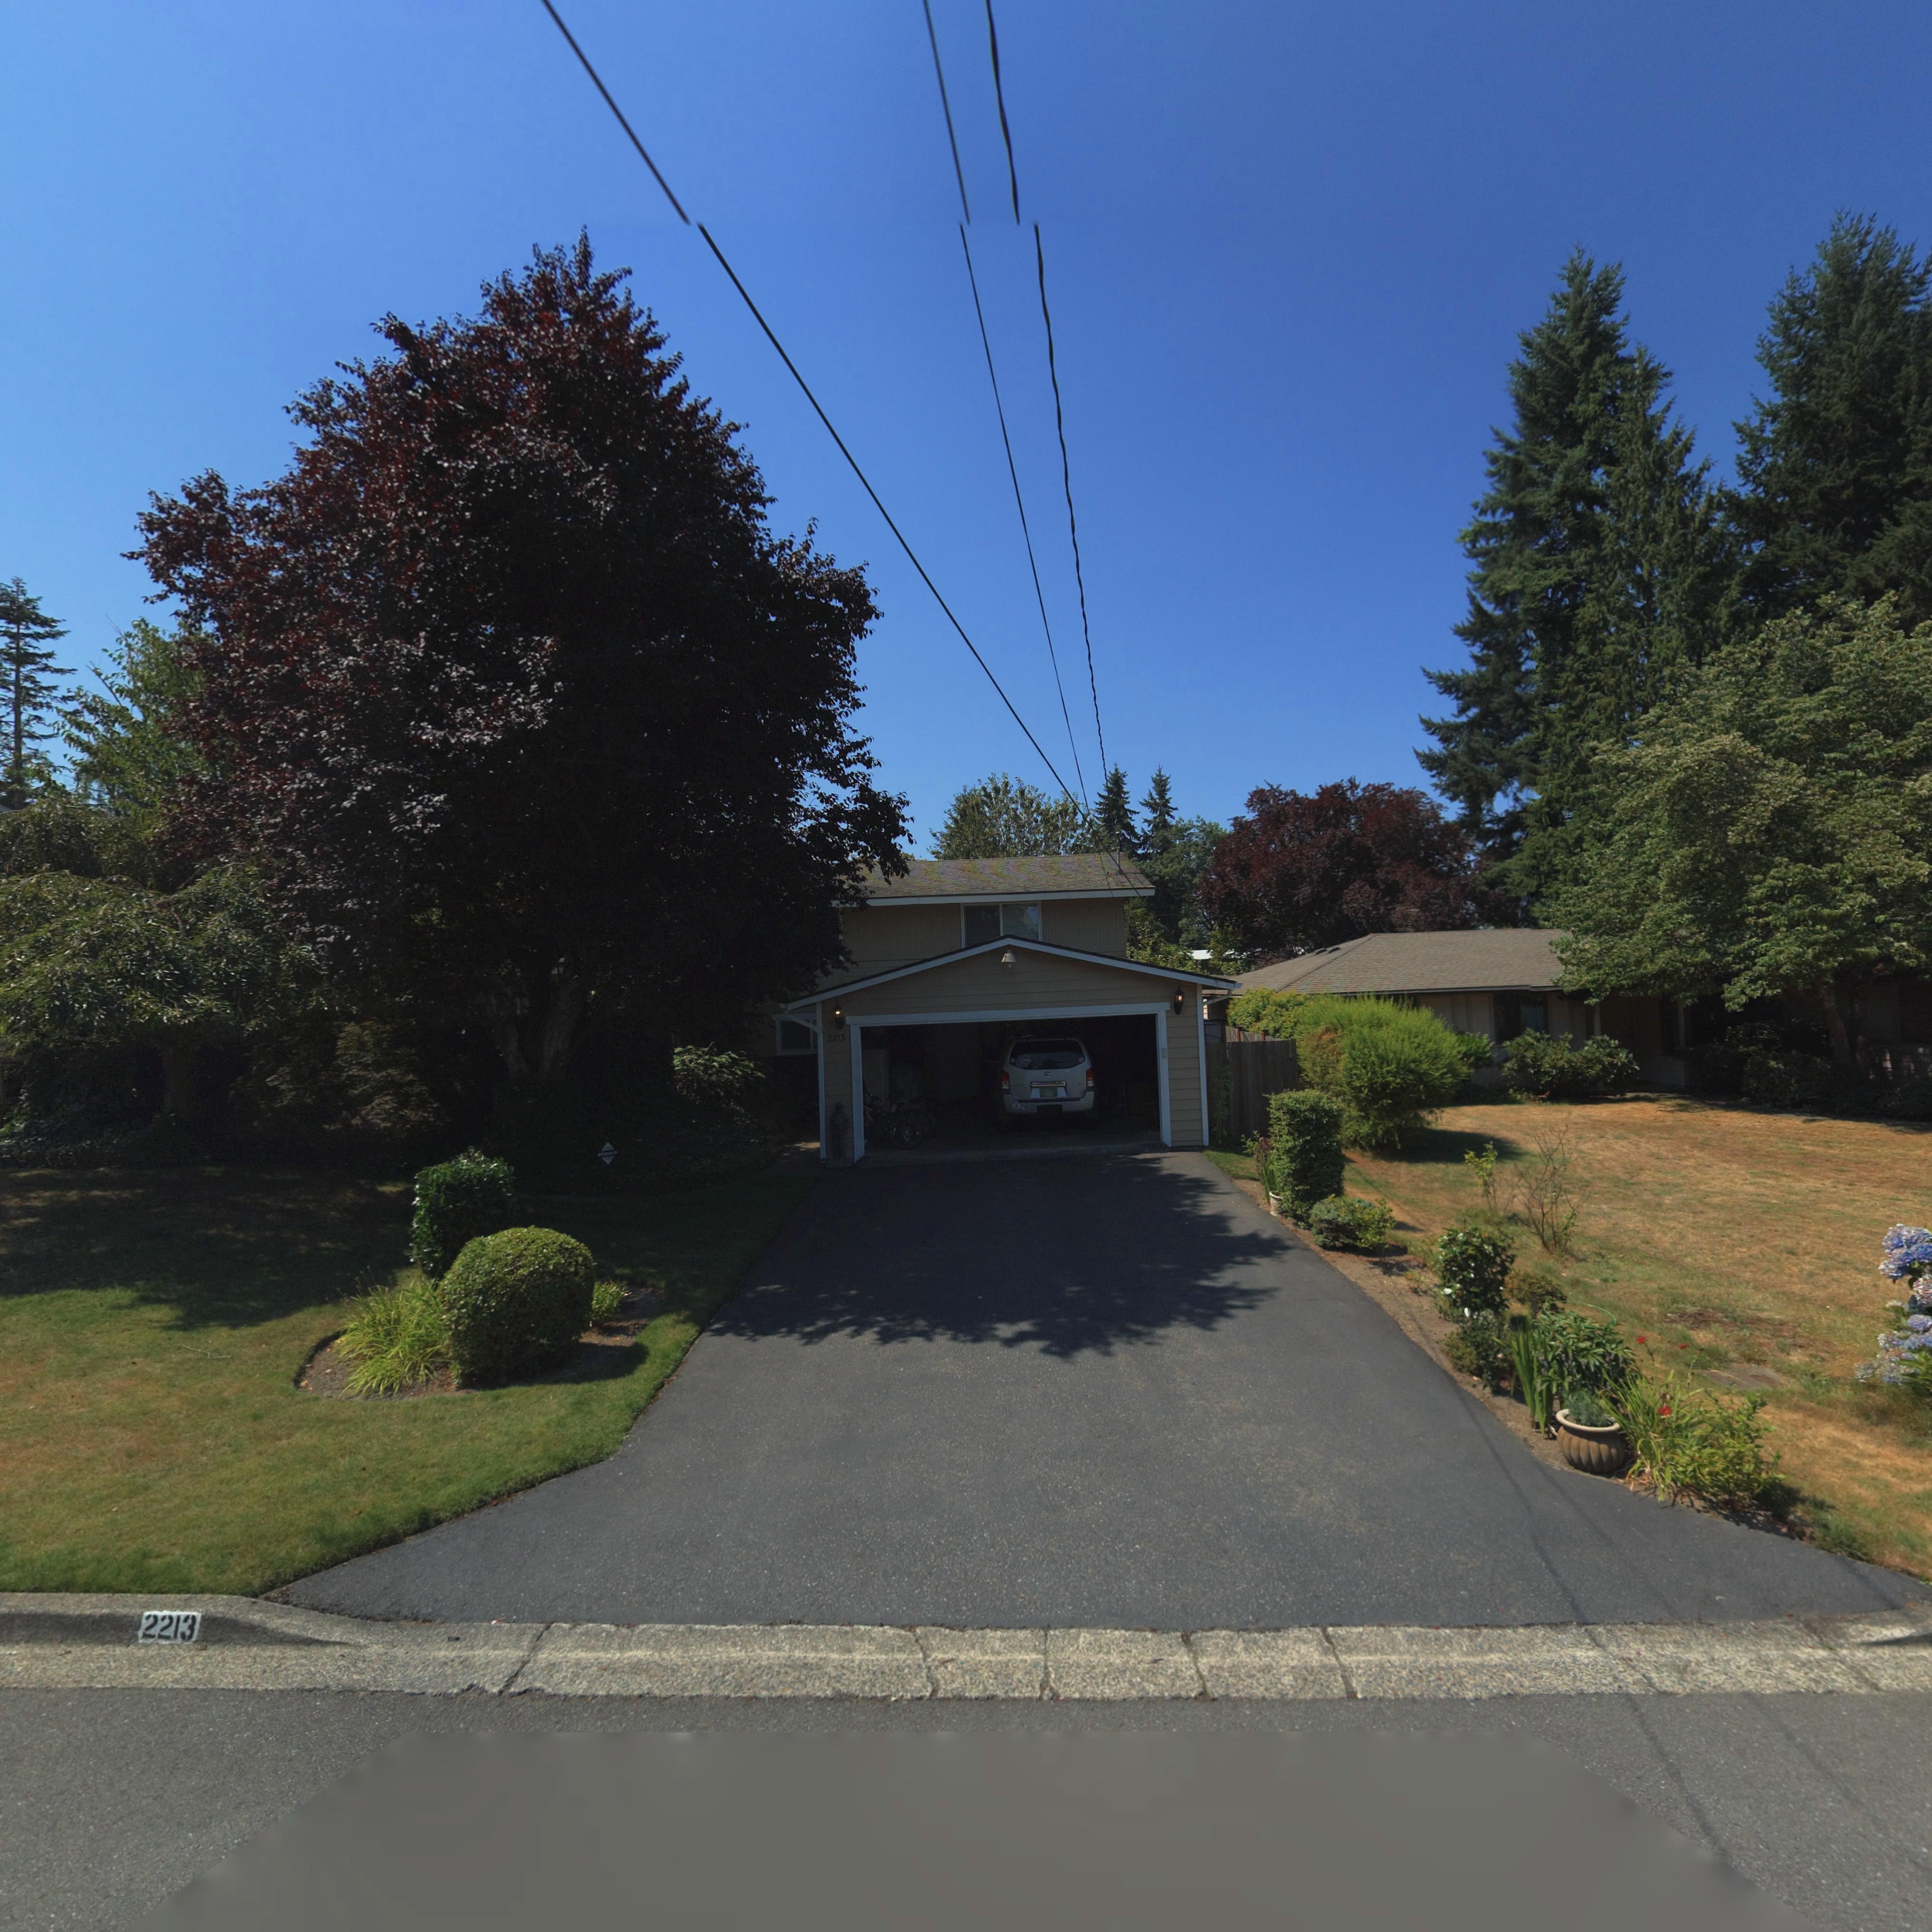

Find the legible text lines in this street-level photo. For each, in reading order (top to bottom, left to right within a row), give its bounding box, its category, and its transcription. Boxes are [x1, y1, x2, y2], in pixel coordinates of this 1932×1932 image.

[827, 1034, 846, 1042] StreetNumber: 221*
[142, 1613, 198, 1643] StreetNumber: 2213